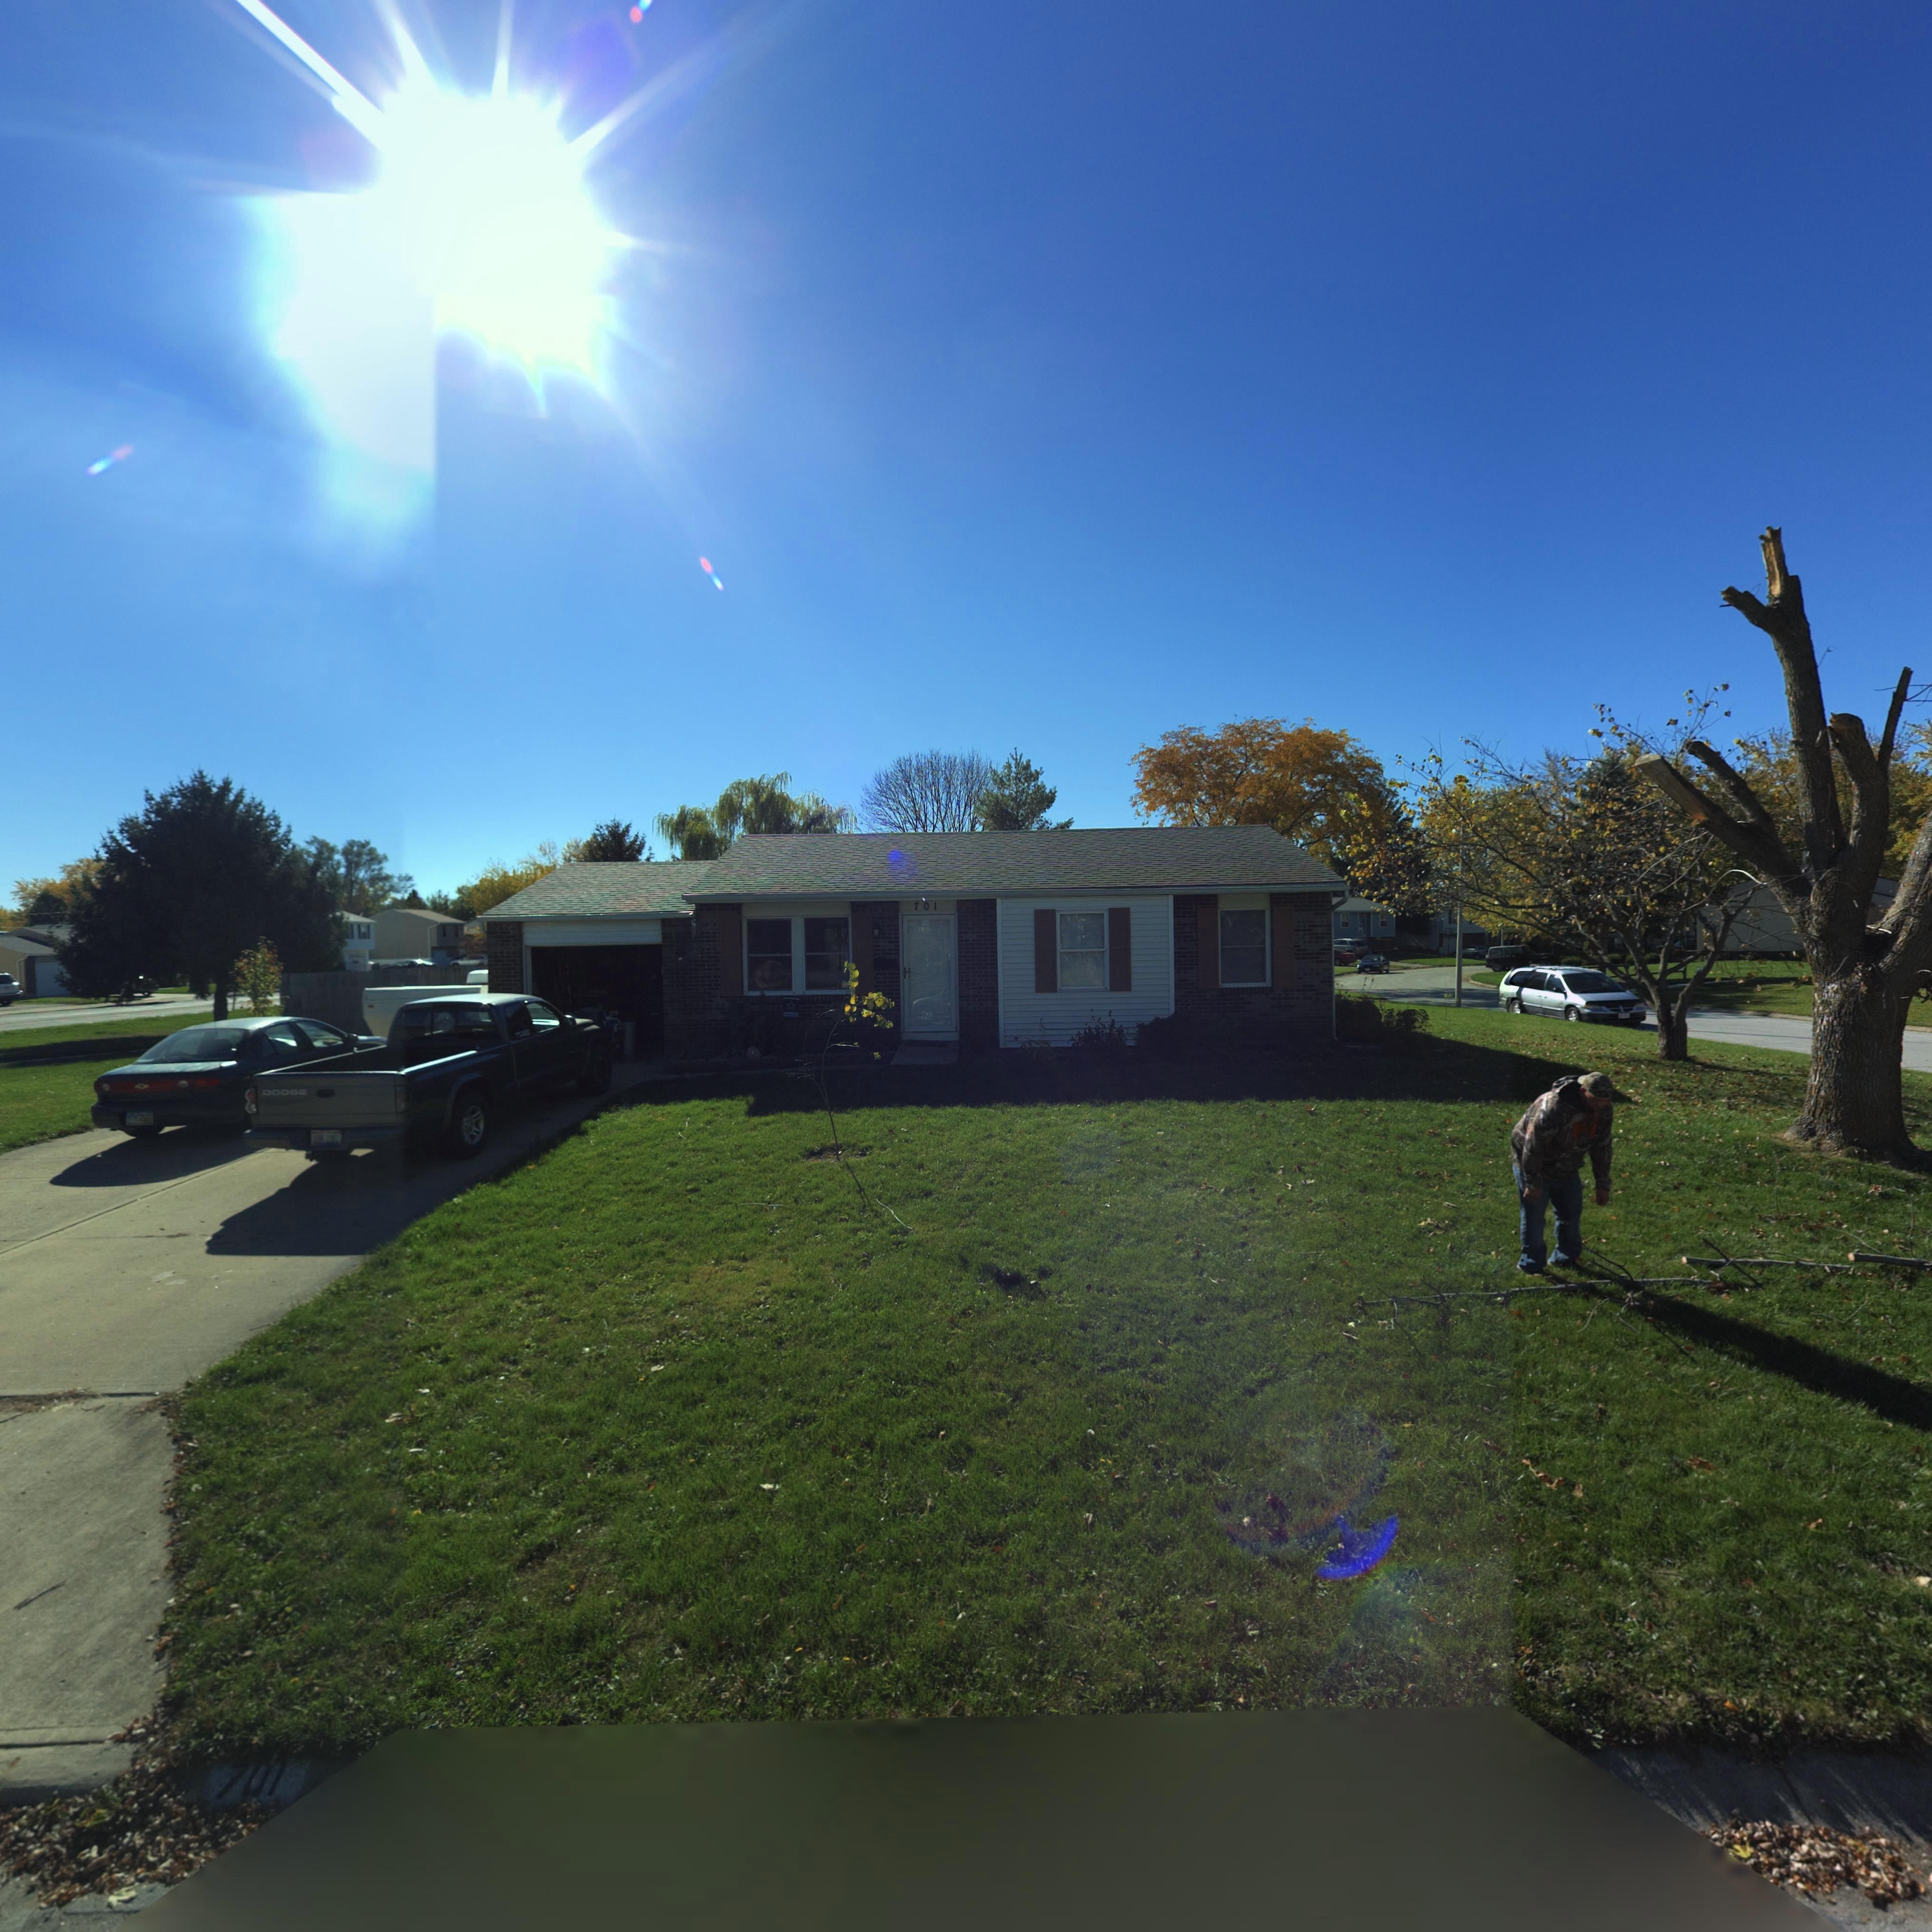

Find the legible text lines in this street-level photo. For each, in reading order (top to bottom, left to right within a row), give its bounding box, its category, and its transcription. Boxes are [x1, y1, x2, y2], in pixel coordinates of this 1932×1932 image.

[913, 901, 937, 910] StreetNumber: 701
[211, 1758, 293, 1801] StreetNumber: 701